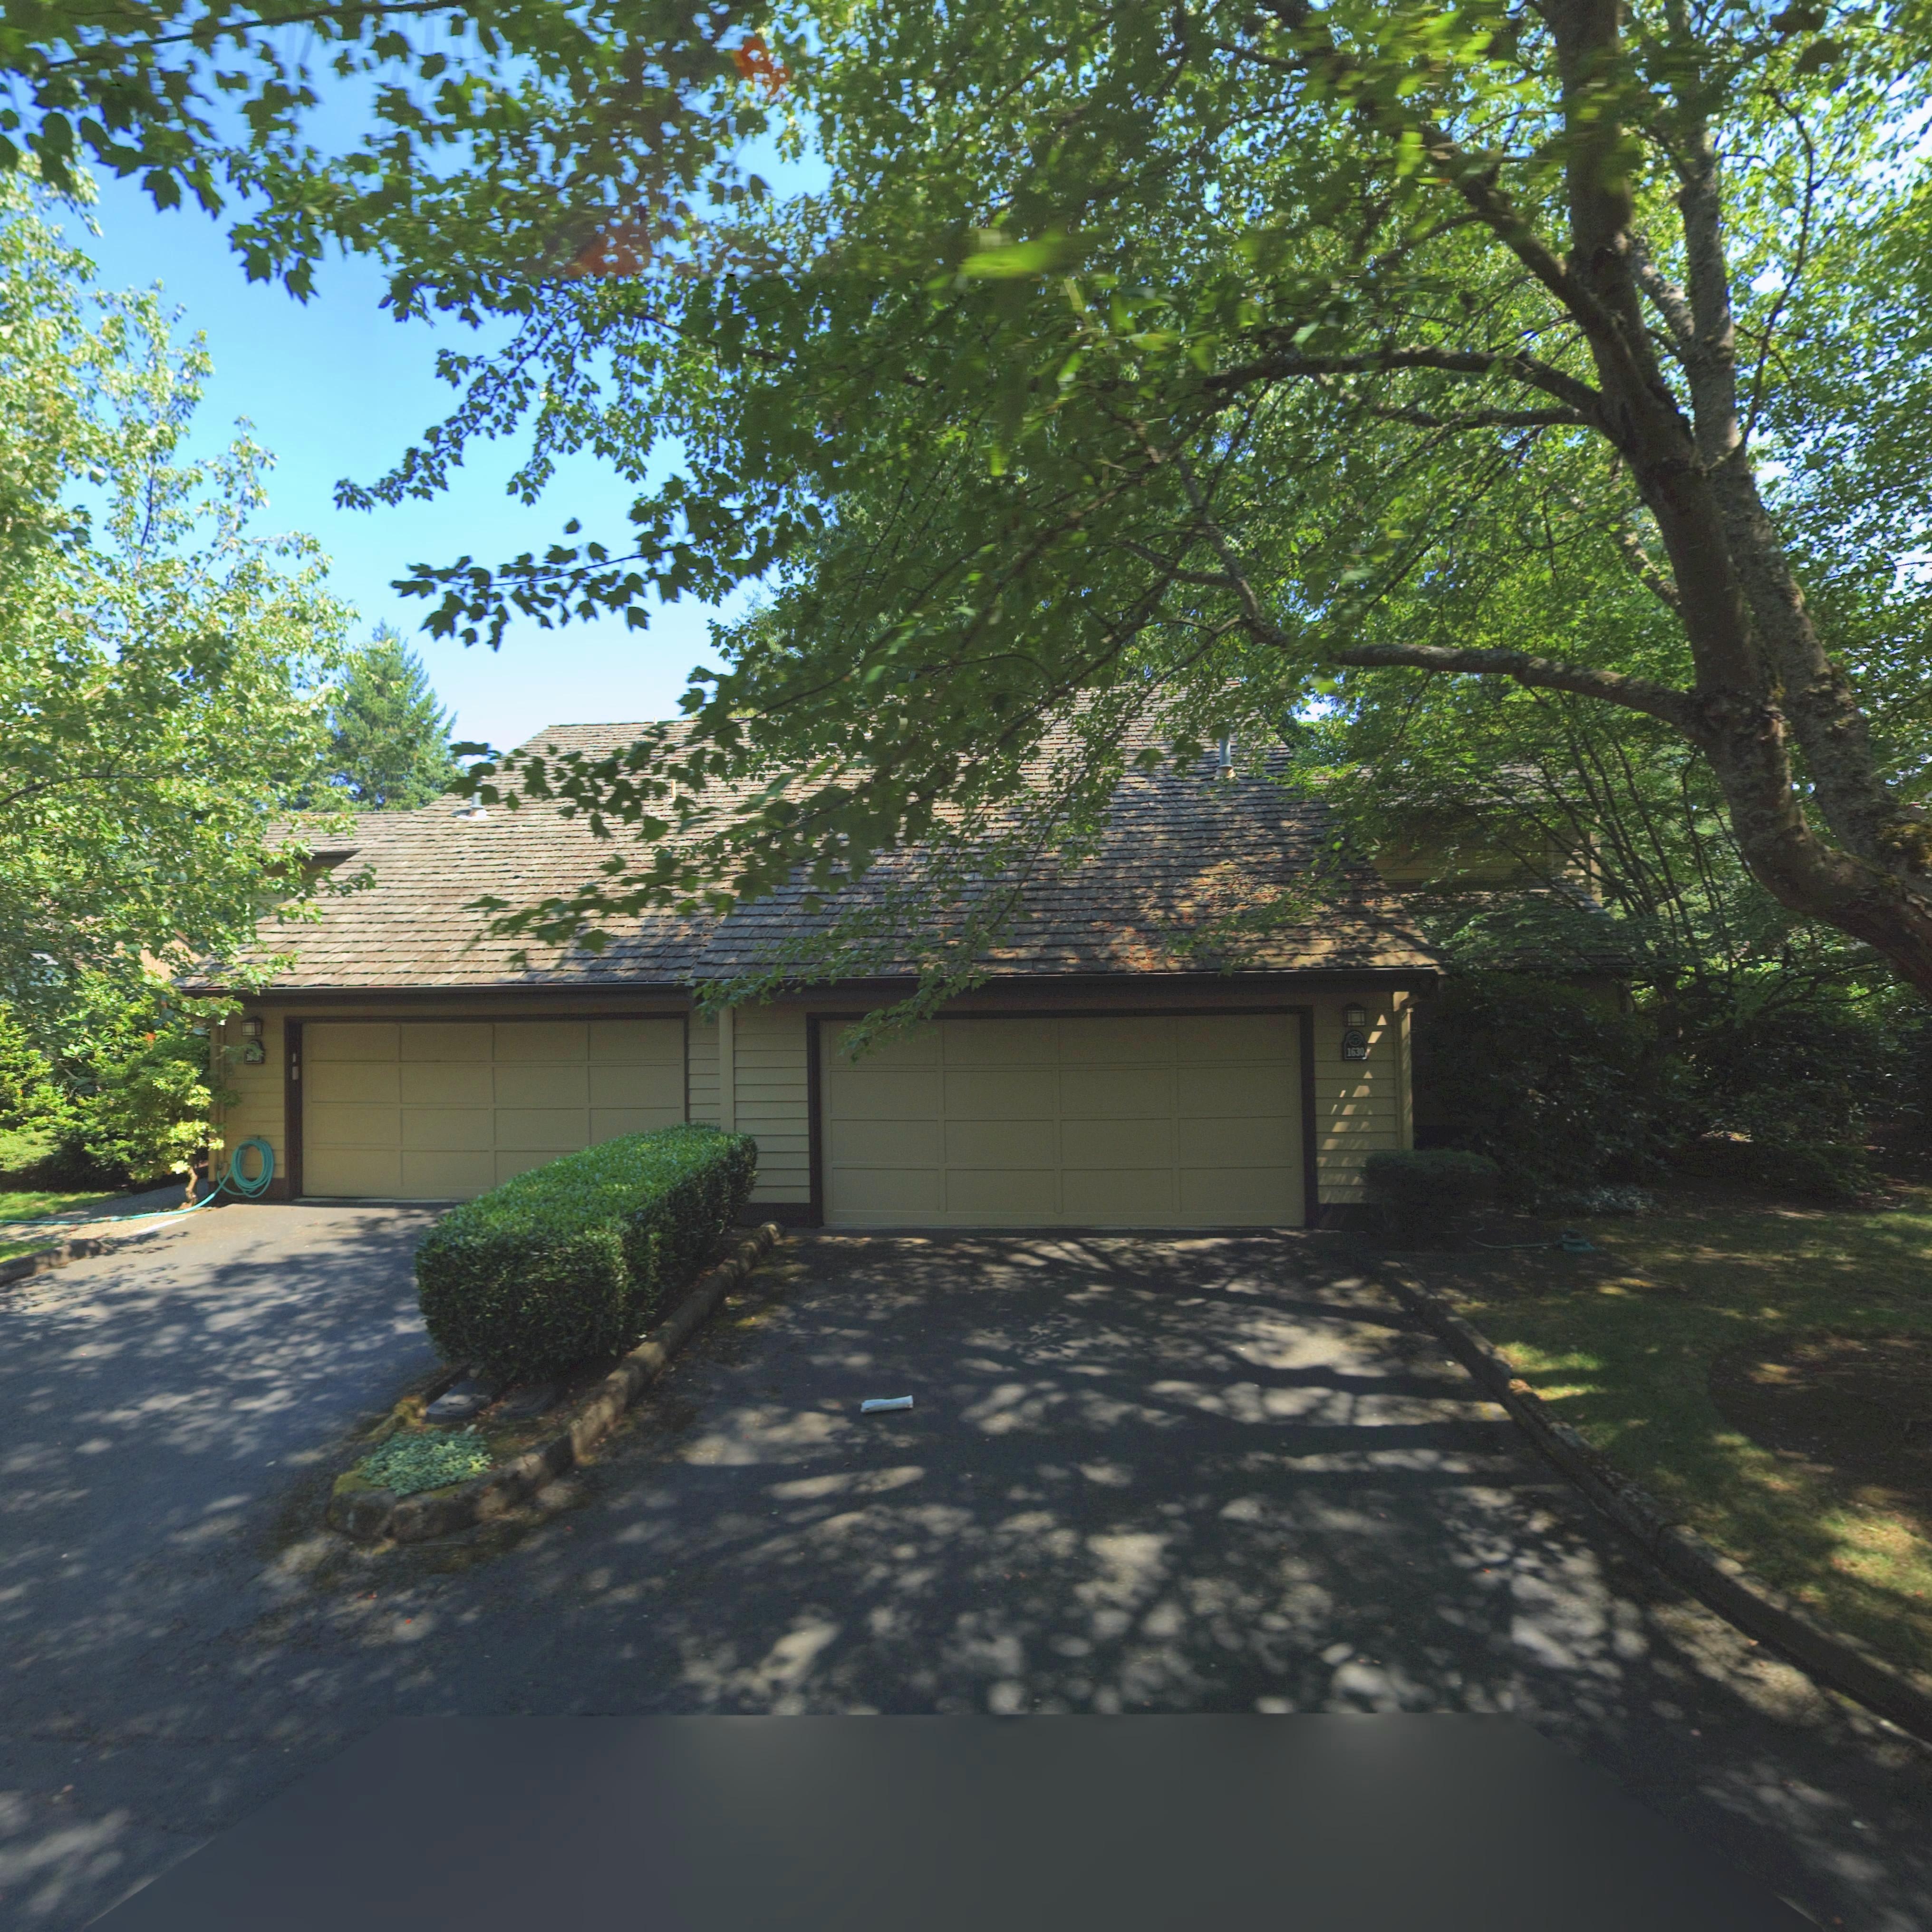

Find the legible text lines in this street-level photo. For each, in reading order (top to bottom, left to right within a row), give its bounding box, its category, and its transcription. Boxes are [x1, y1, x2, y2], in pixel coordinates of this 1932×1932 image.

[1347, 1046, 1365, 1056] StreetNumber: 1630